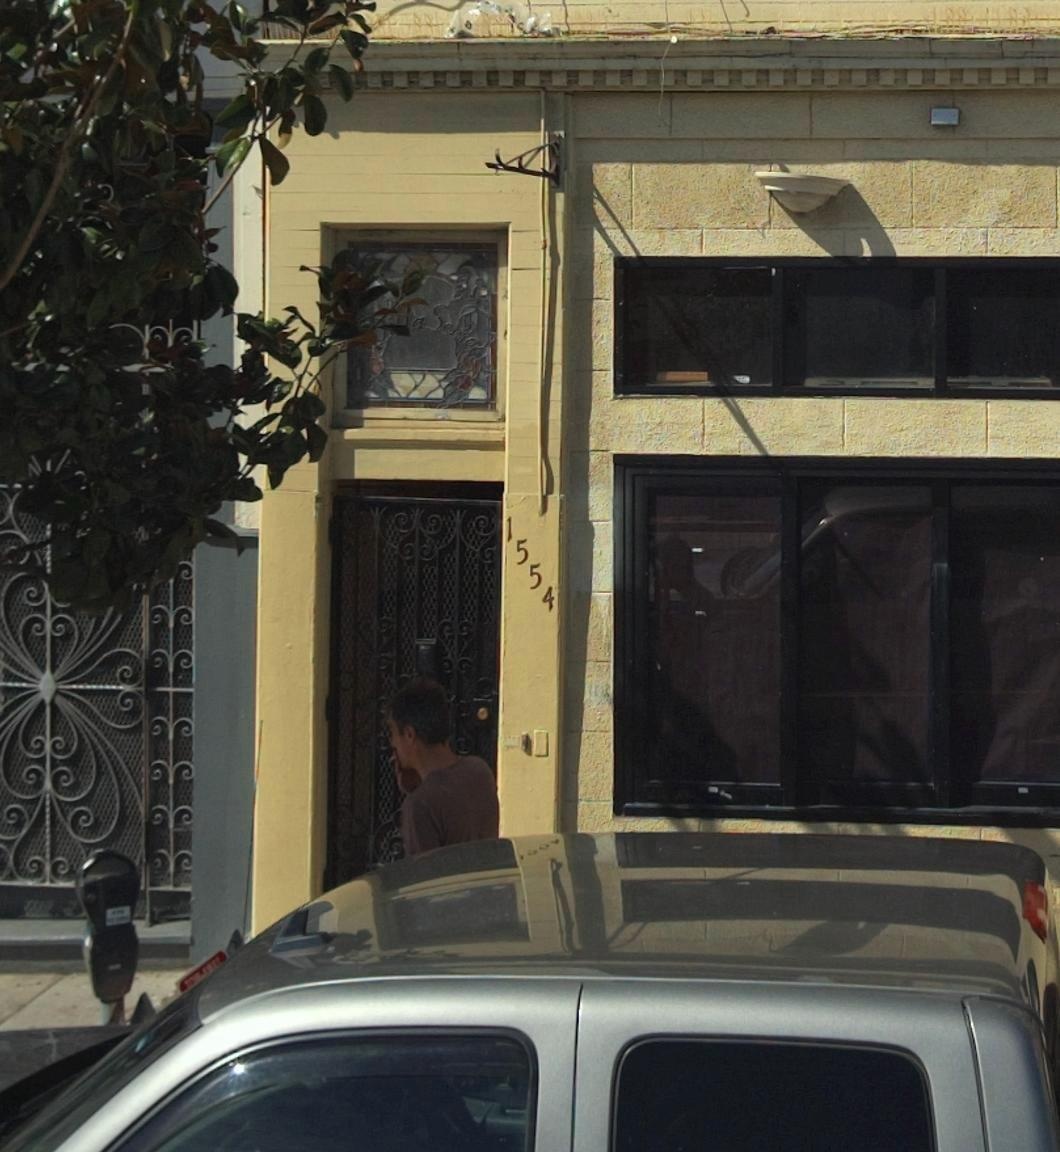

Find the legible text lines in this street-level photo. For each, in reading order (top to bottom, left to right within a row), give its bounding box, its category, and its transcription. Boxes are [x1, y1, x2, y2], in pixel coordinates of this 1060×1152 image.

[504, 512, 558, 629] StreetNumber: 1554